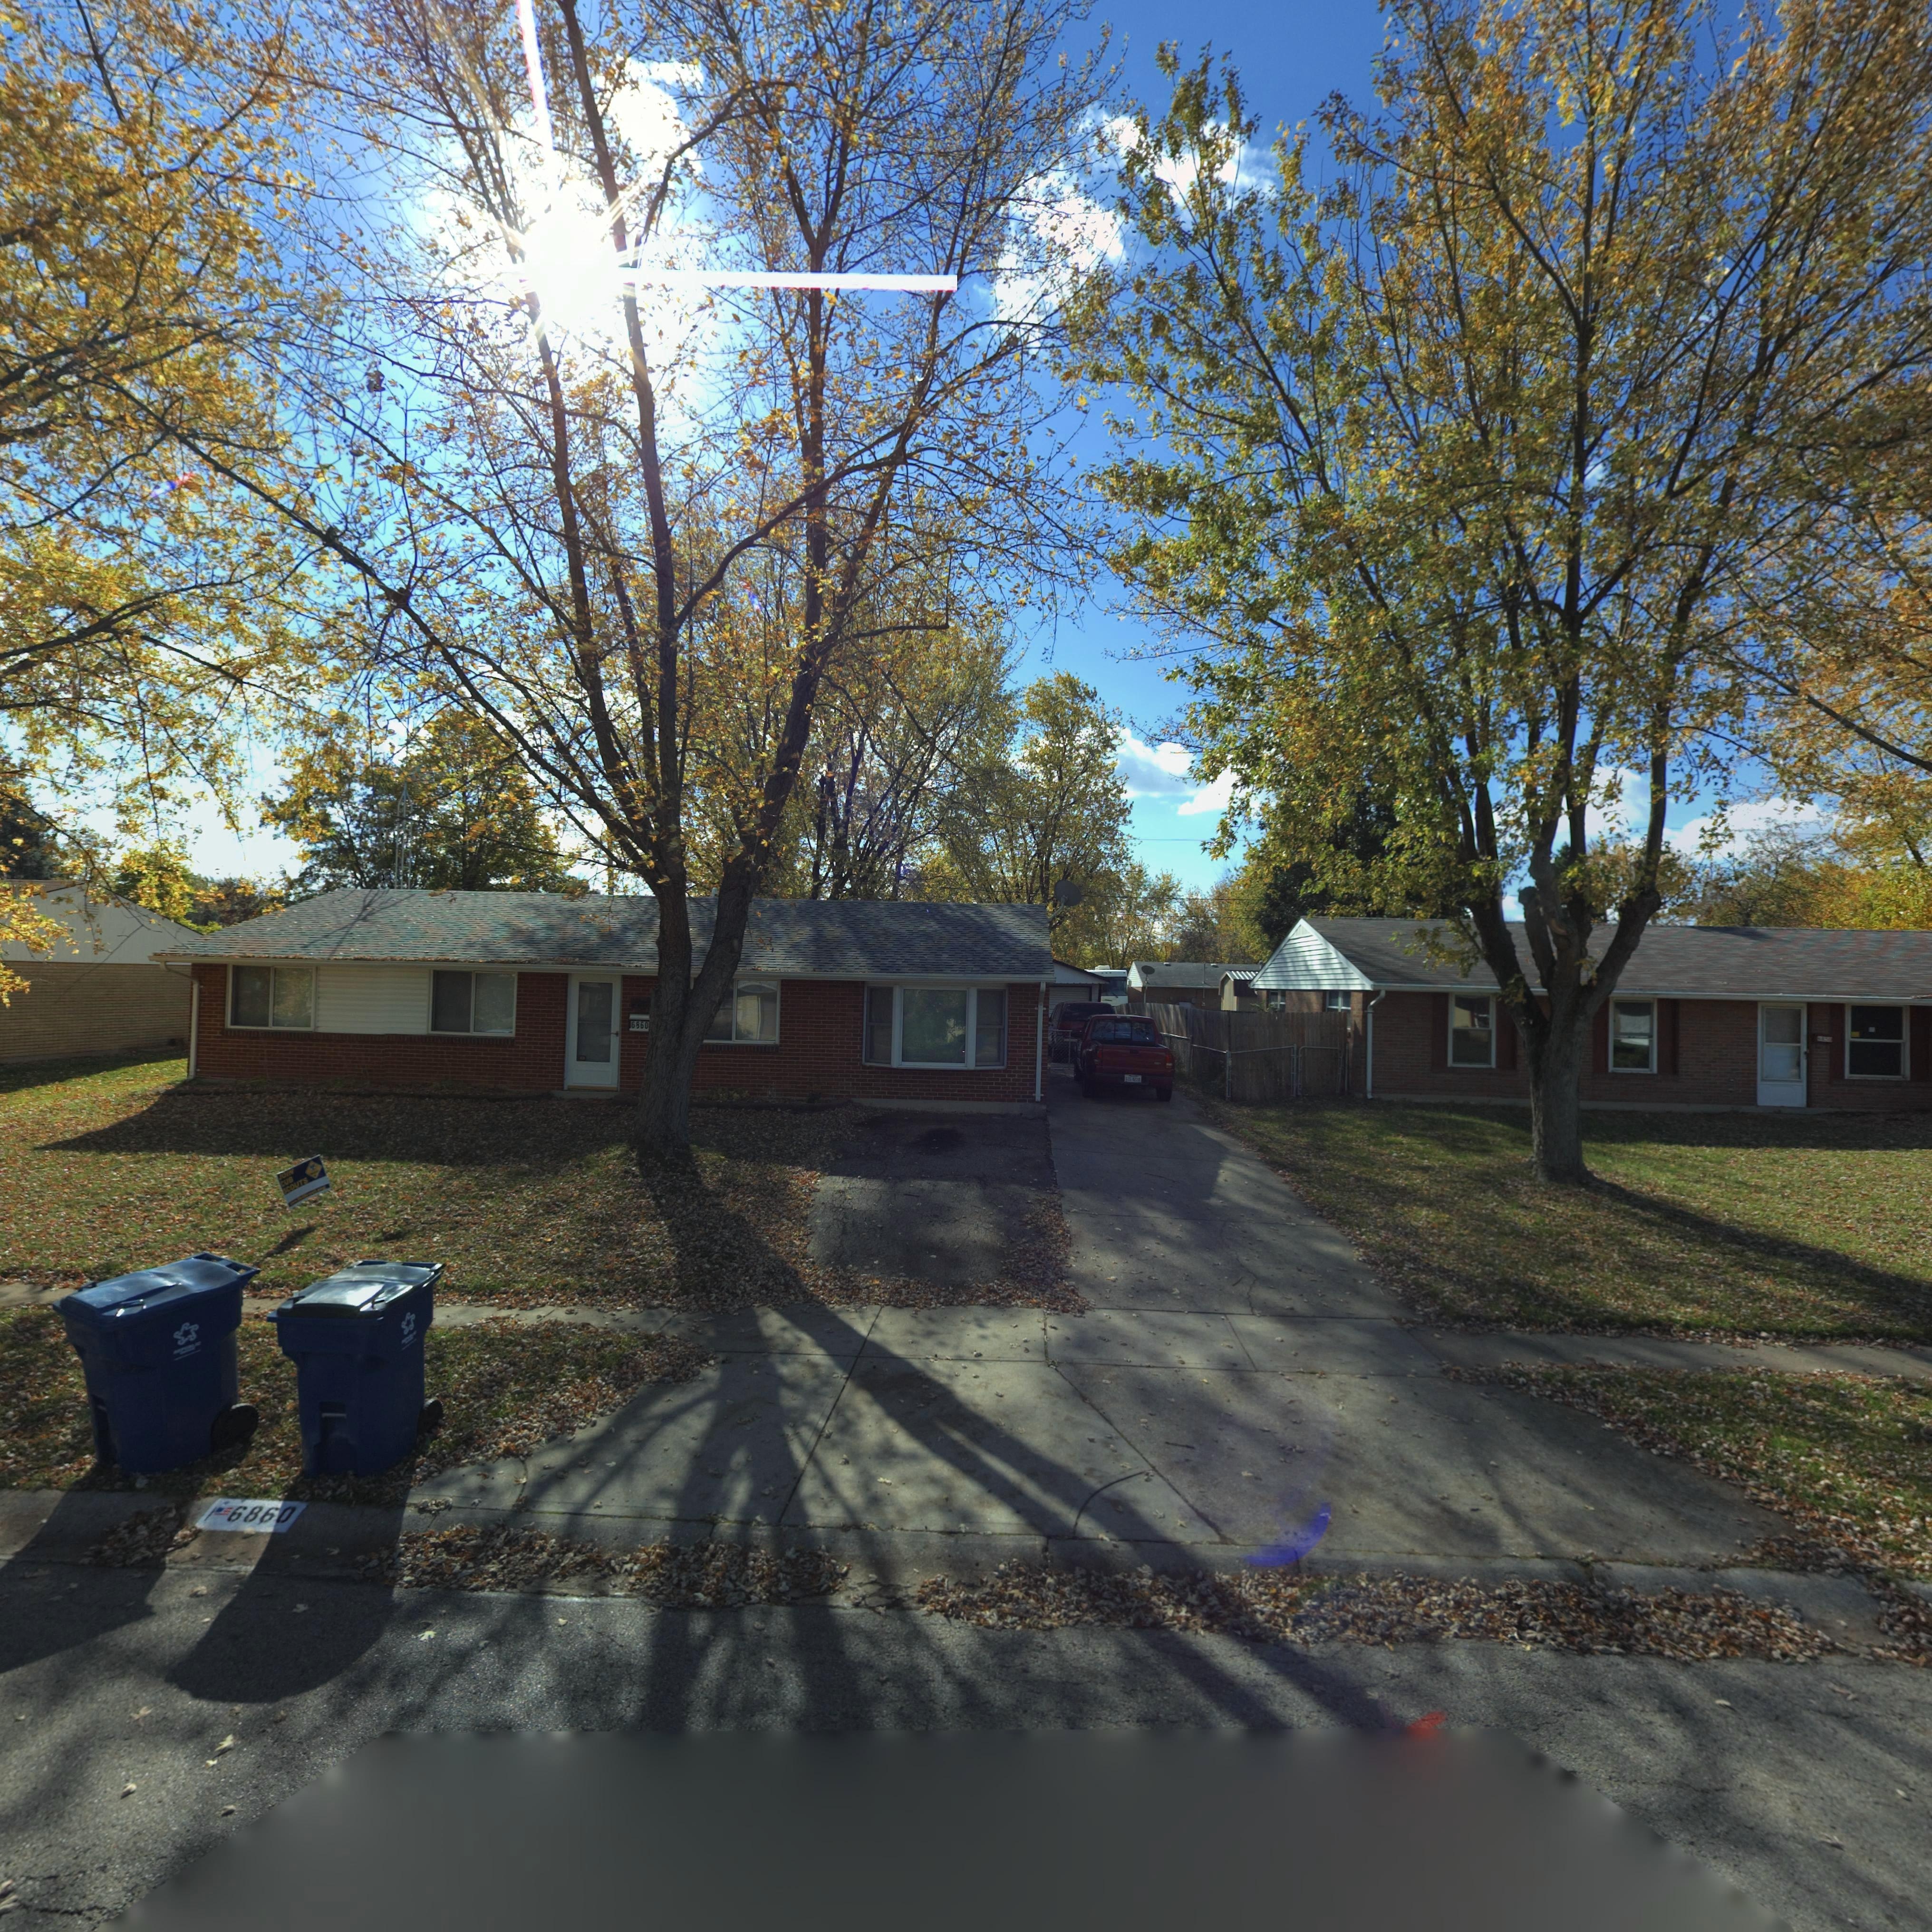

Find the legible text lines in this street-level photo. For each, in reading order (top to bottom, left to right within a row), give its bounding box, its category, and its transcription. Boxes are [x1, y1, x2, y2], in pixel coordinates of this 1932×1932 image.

[631, 1020, 649, 1030] StreetNumber: 6860
[223, 1504, 299, 1526] StreetNumber: 6860